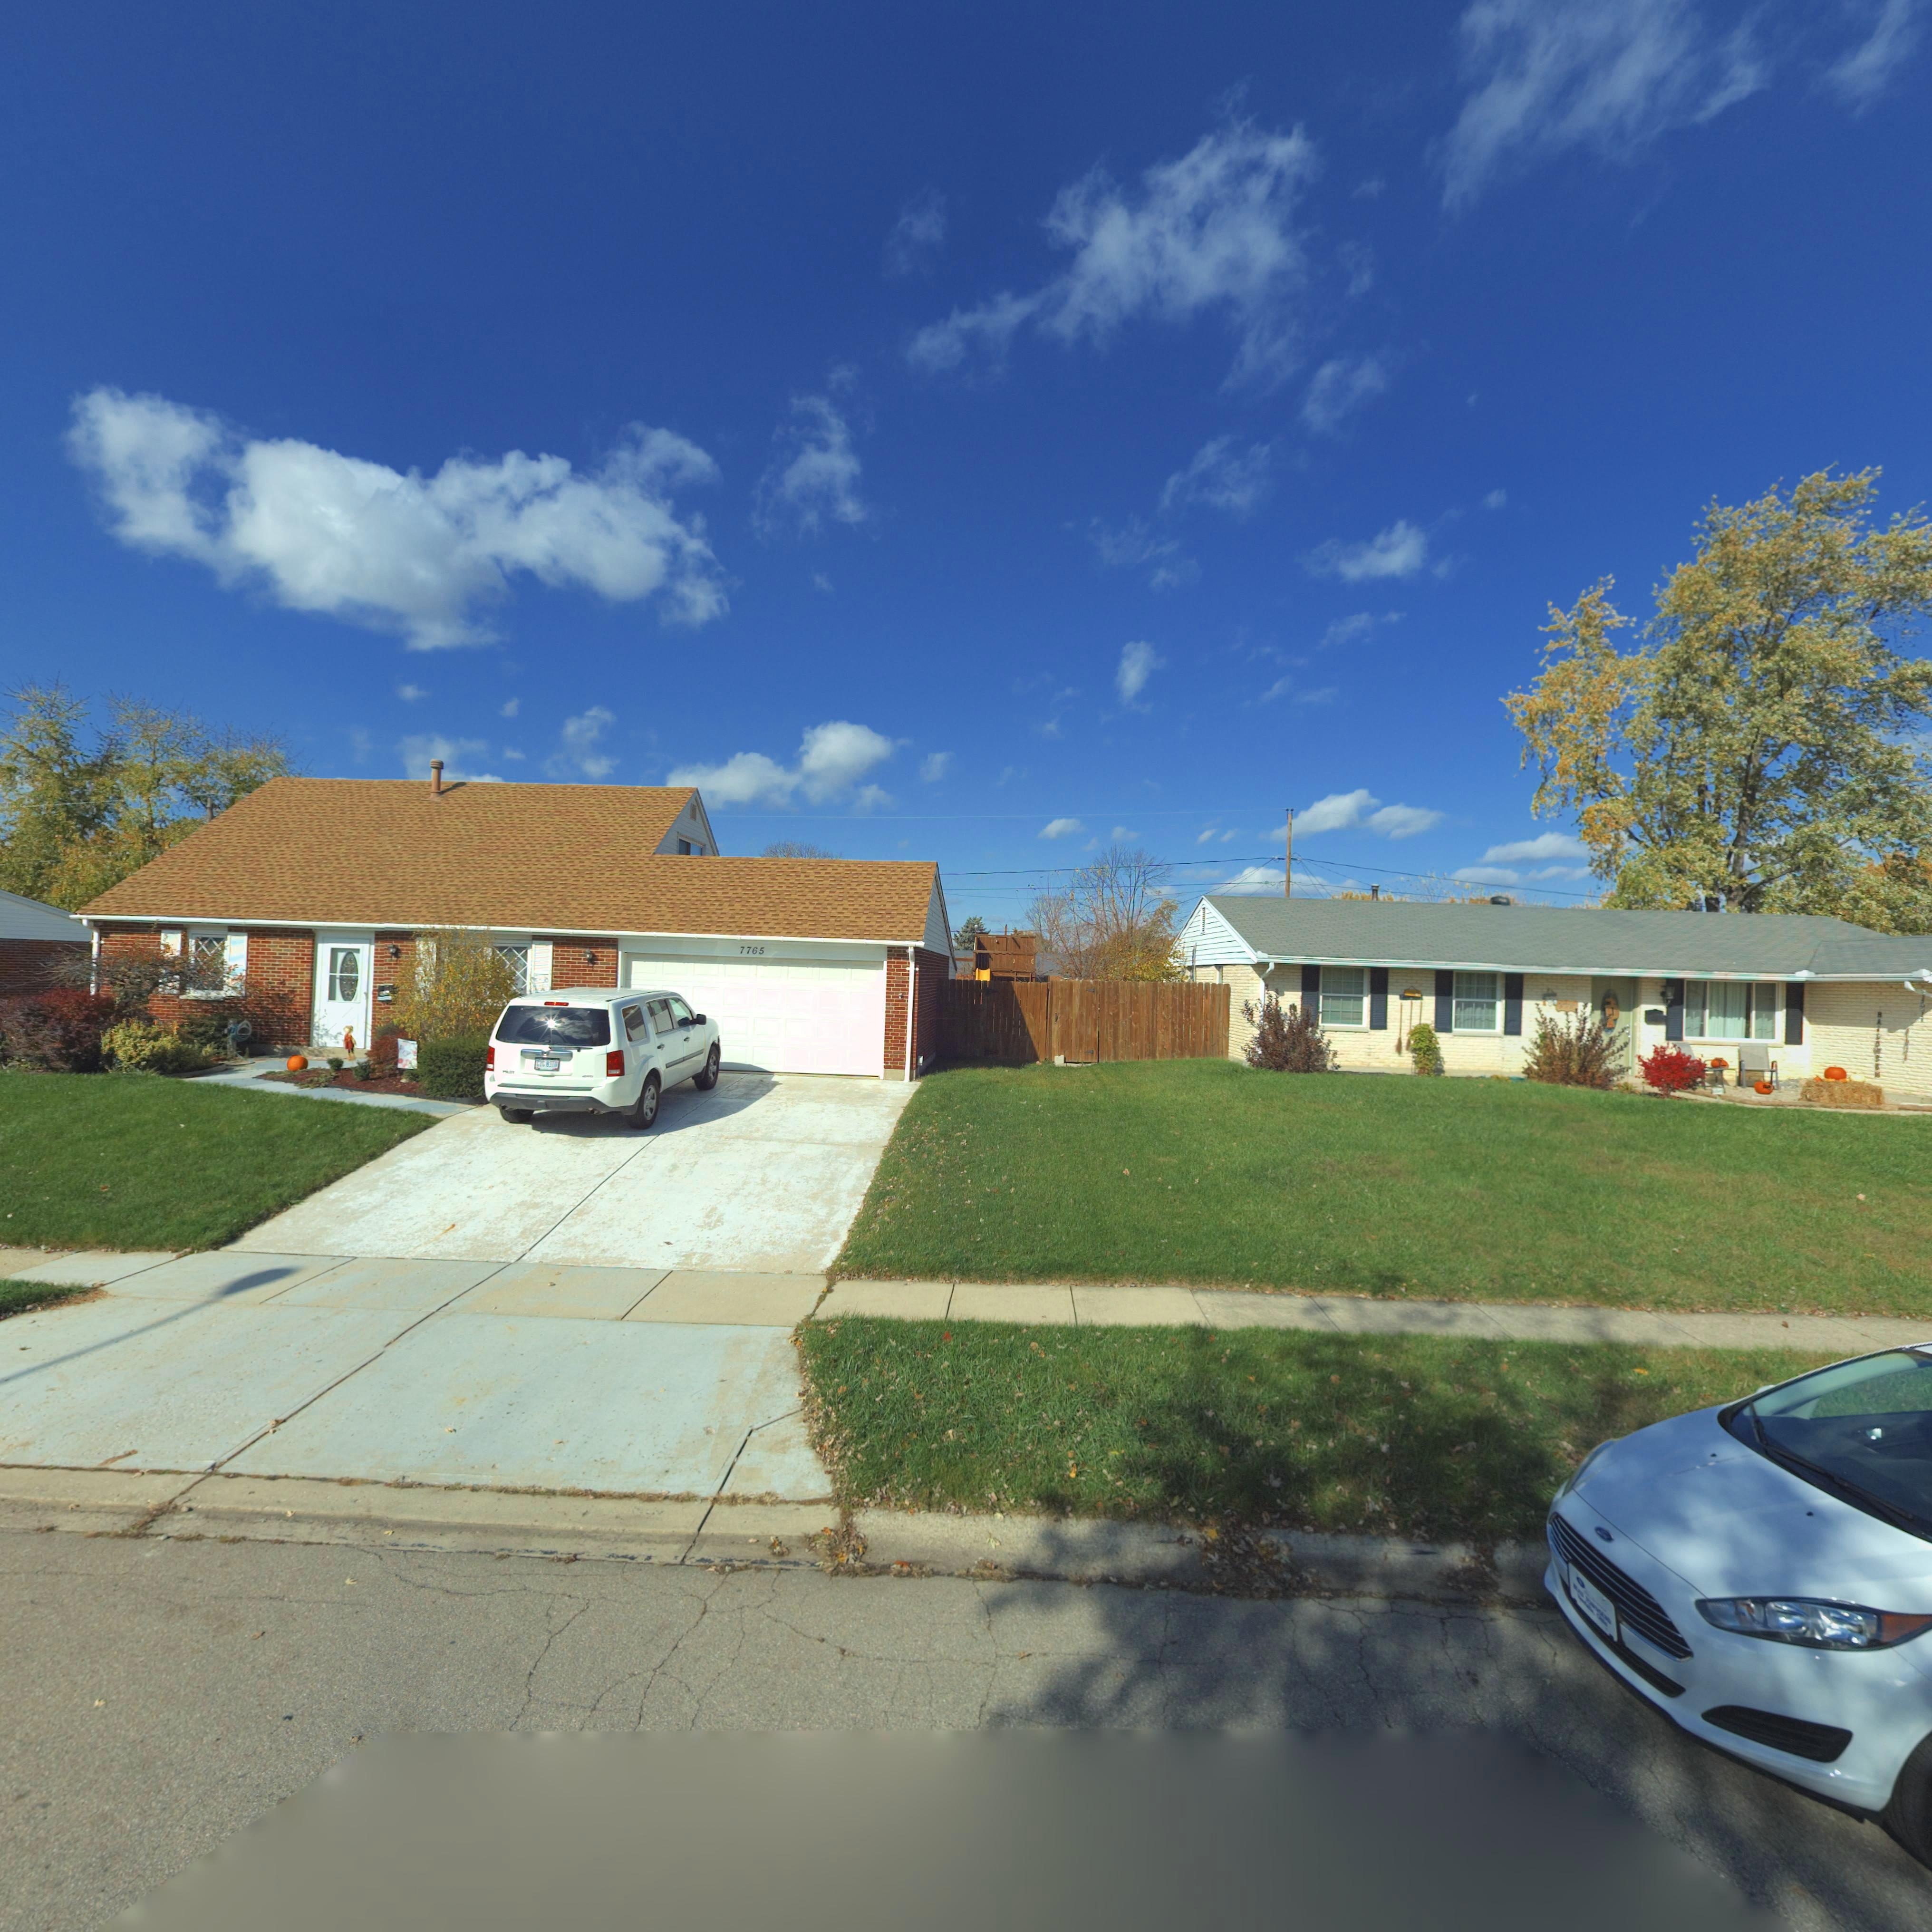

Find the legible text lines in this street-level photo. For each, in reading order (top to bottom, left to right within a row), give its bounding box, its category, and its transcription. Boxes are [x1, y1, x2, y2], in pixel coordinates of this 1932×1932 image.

[739, 946, 765, 956] StreetNumber: 7765